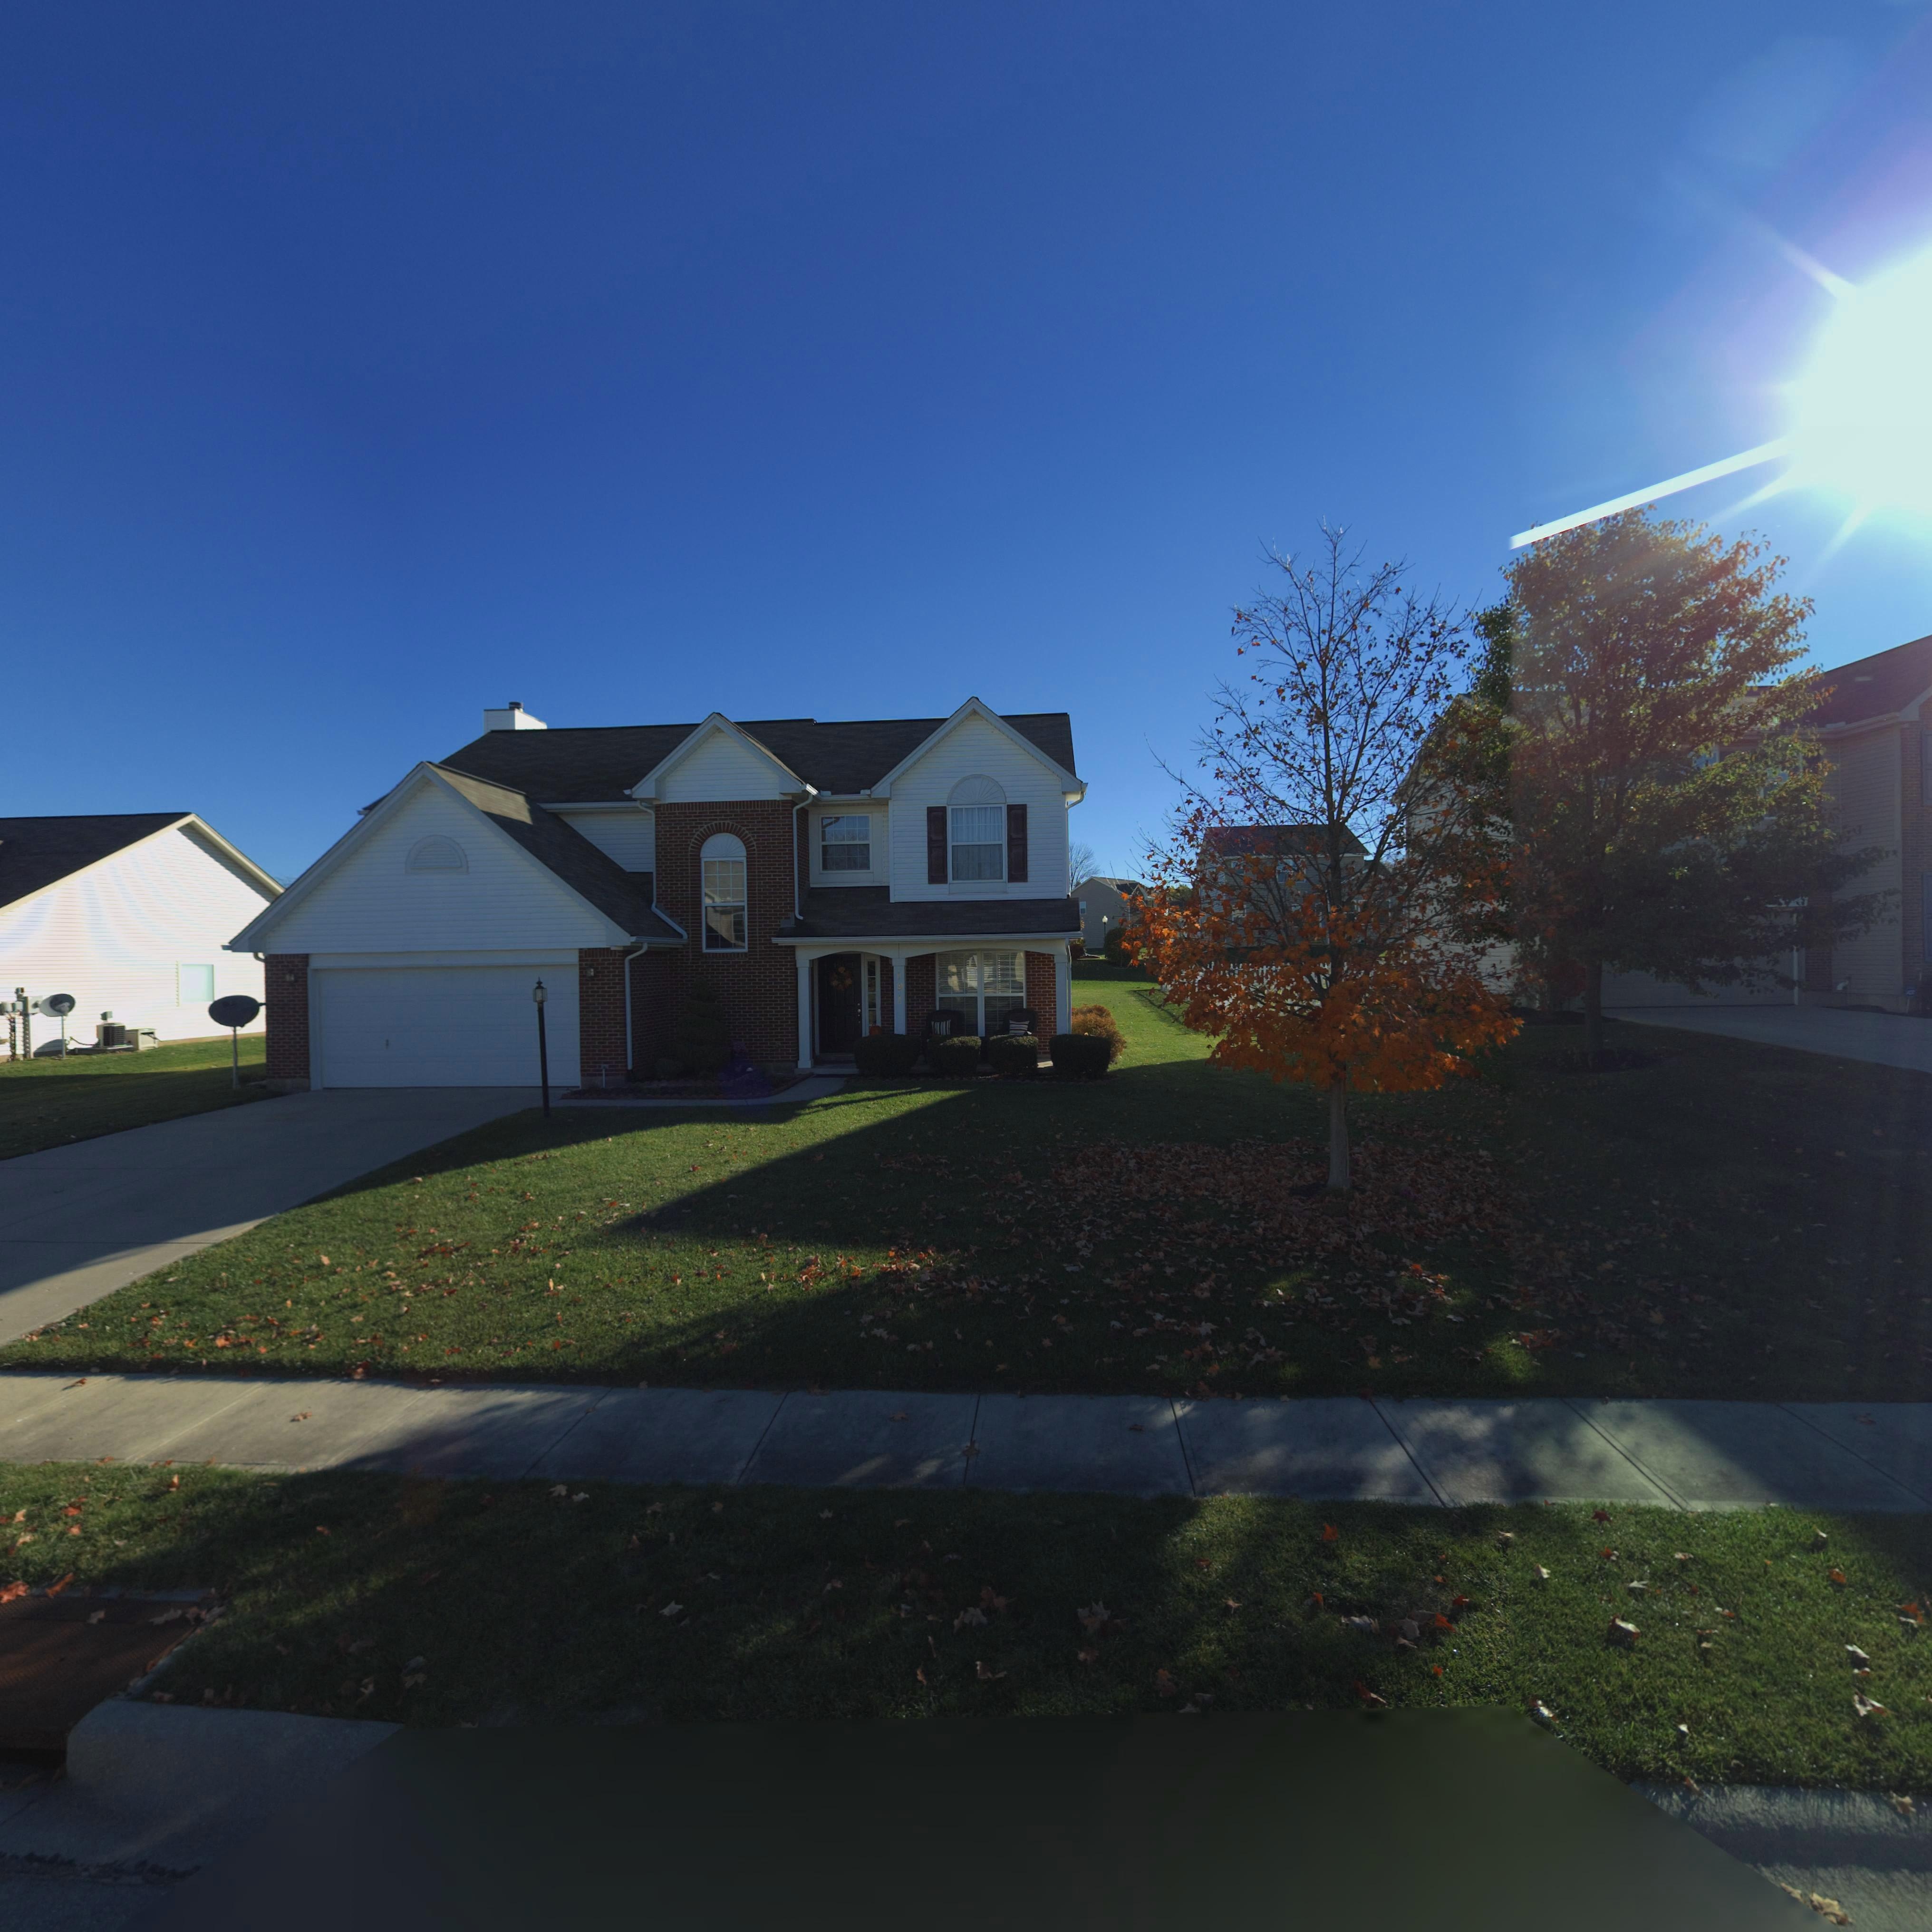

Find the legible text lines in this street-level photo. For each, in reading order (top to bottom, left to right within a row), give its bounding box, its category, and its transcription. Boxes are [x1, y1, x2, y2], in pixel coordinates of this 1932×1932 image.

[897, 970, 903, 1005] StreetNumber: 191